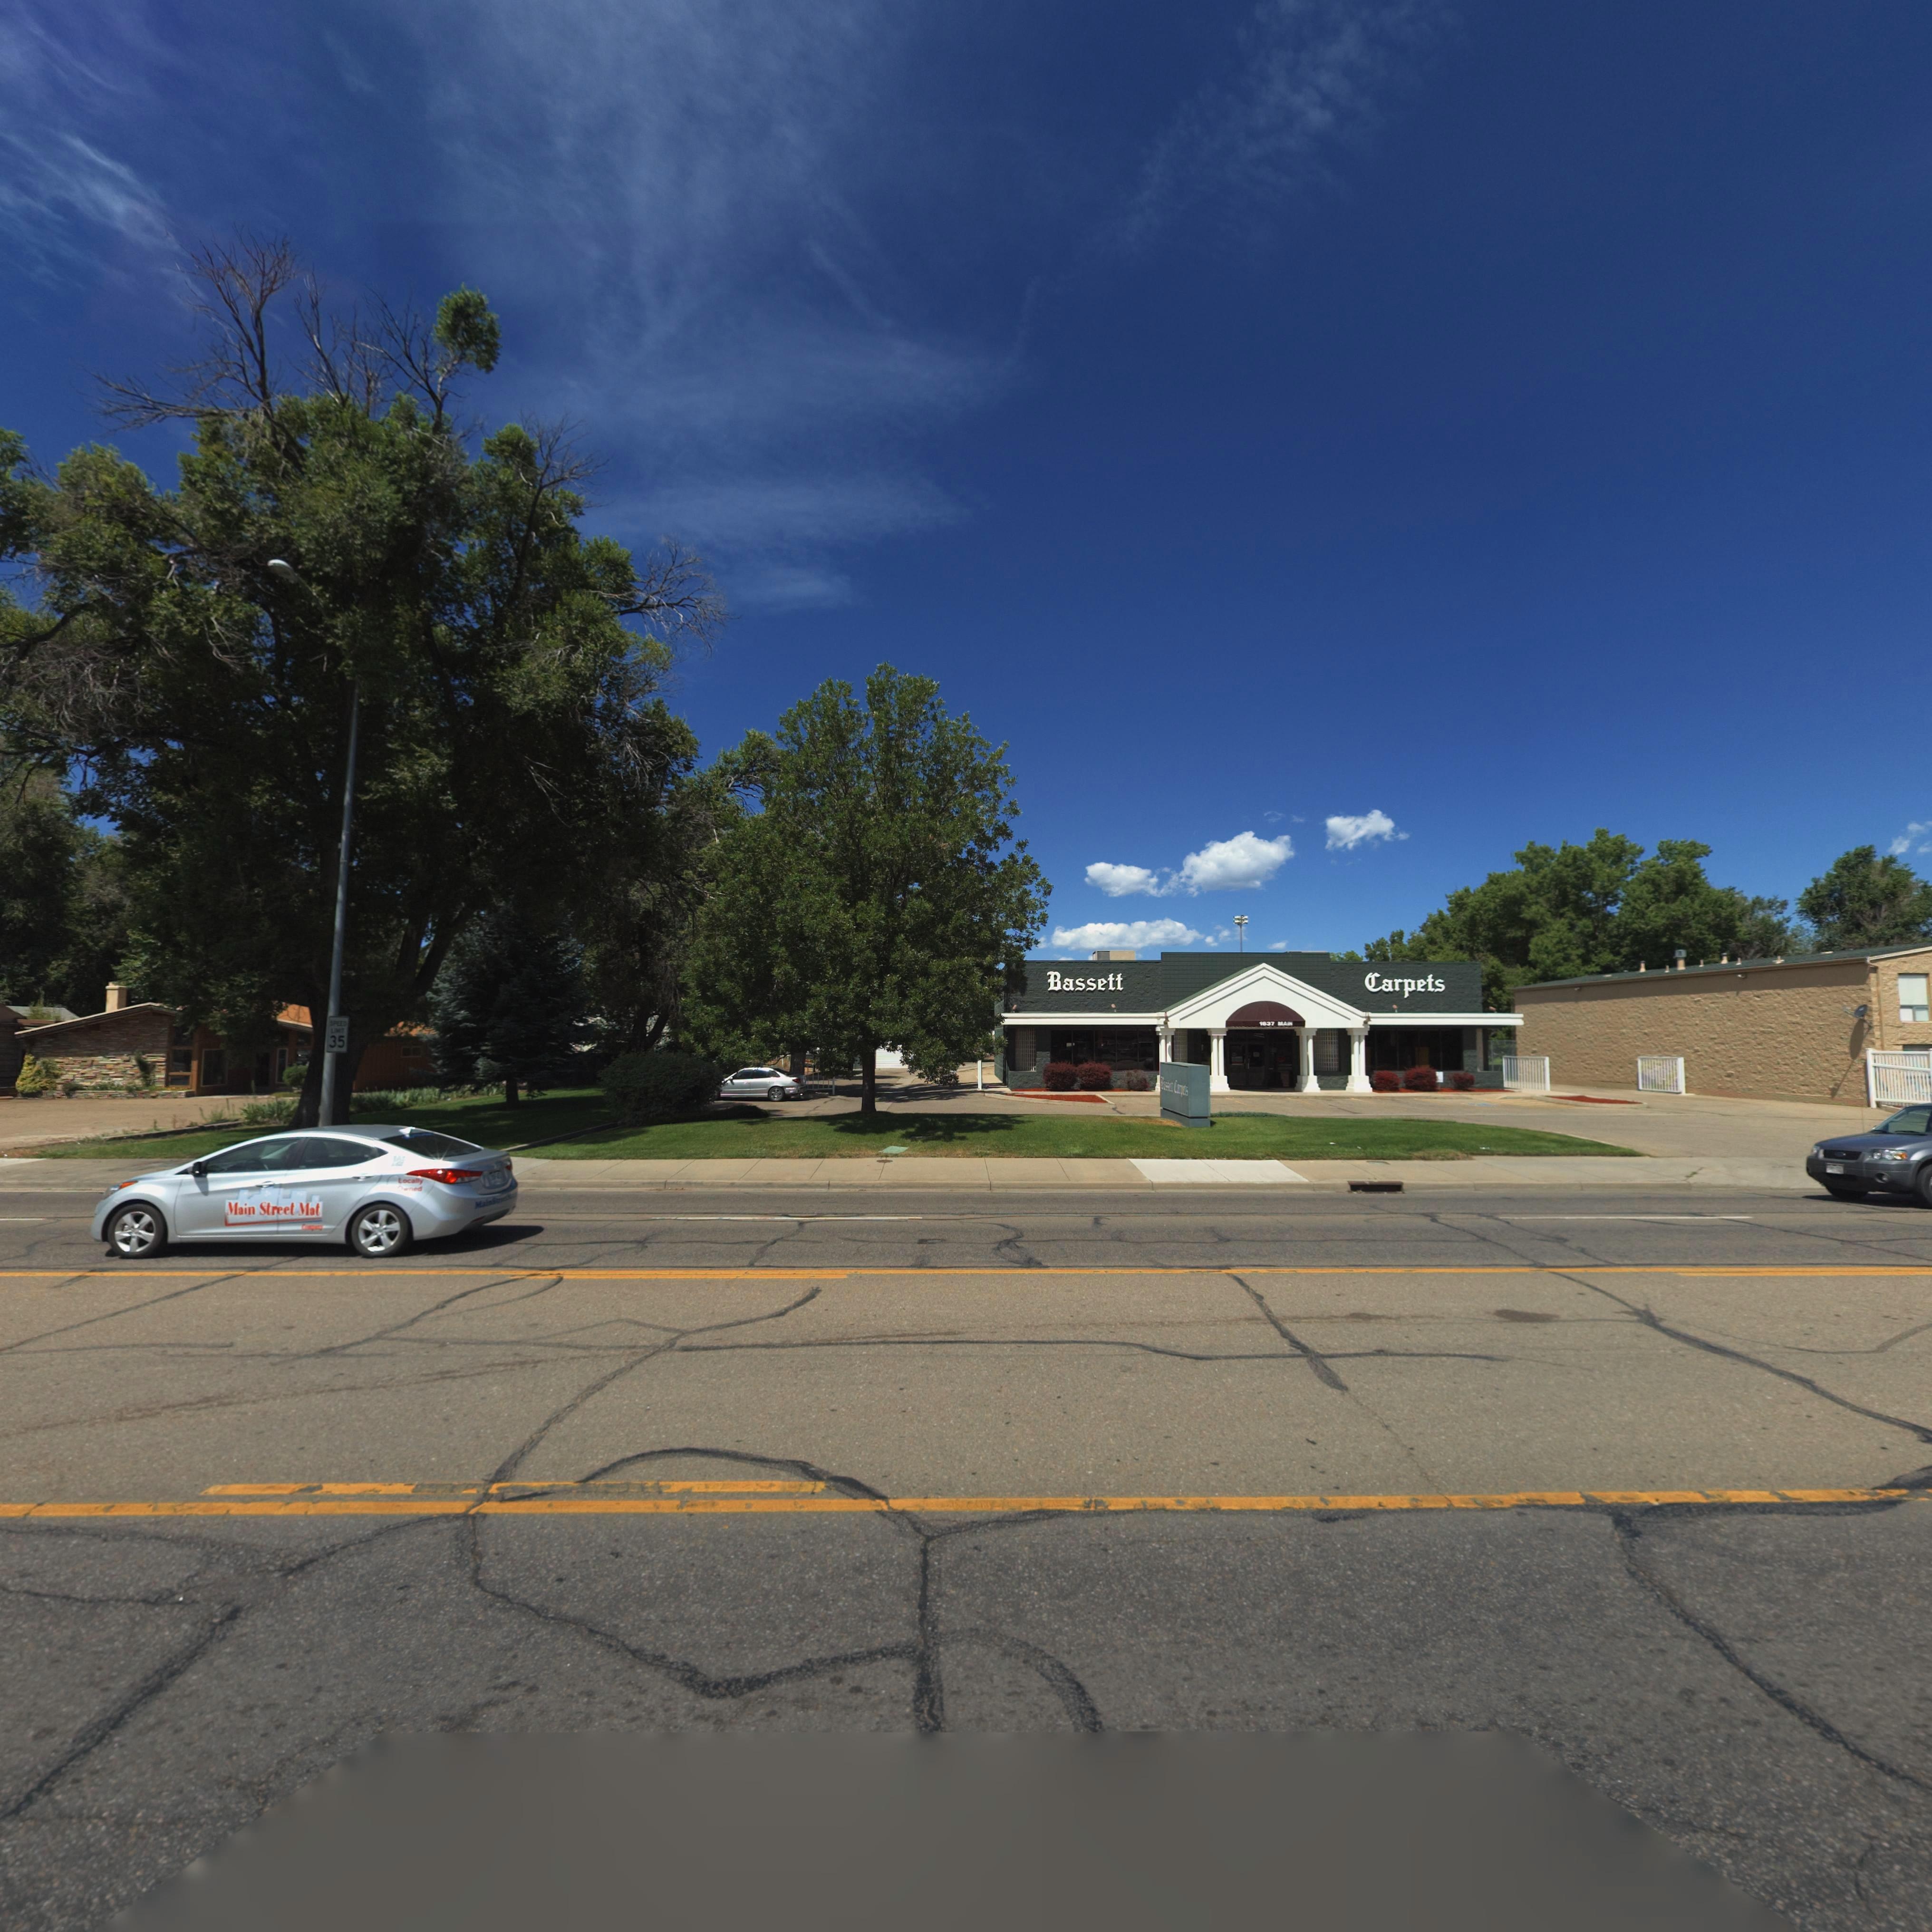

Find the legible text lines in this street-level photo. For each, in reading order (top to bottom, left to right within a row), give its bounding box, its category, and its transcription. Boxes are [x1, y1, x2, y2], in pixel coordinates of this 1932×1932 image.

[1046, 970, 1124, 992] BusinessName: Bassett
[1363, 971, 1446, 999] BusinessName: Carpets
[1258, 1021, 1275, 1026] StreetNumber: 1*37
[1277, 1021, 1293, 1026] StreetName: MA**
[1160, 1075, 1189, 1098] BusinessName: **ss*** C*r***s